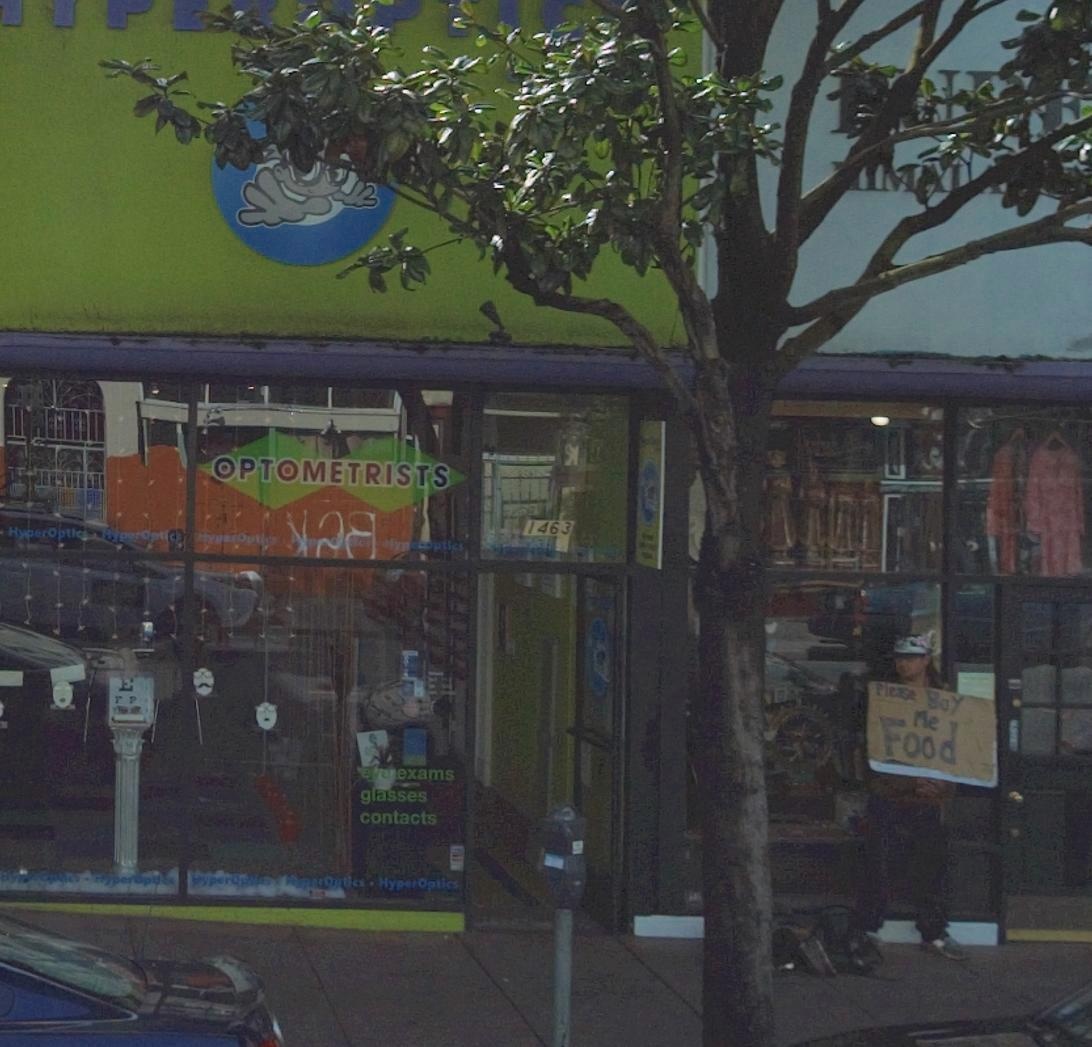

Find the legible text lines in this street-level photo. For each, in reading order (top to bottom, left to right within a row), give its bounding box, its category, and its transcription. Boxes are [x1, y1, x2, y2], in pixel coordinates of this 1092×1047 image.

[208, 450, 454, 493] BusinessName: OPTOMETRISTS
[5, 524, 90, 542] None: HyperOptic*
[526, 519, 573, 536] StreetNumber: 1463
[873, 678, 969, 719] None: Please Buy
[911, 705, 943, 736] None: Me
[873, 709, 961, 768] None: Food
[395, 765, 458, 783] None: exams
[357, 782, 430, 807] None: glasses
[357, 806, 439, 828] None: contacts
[322, 872, 462, 896] None: Optics * HyperOptics